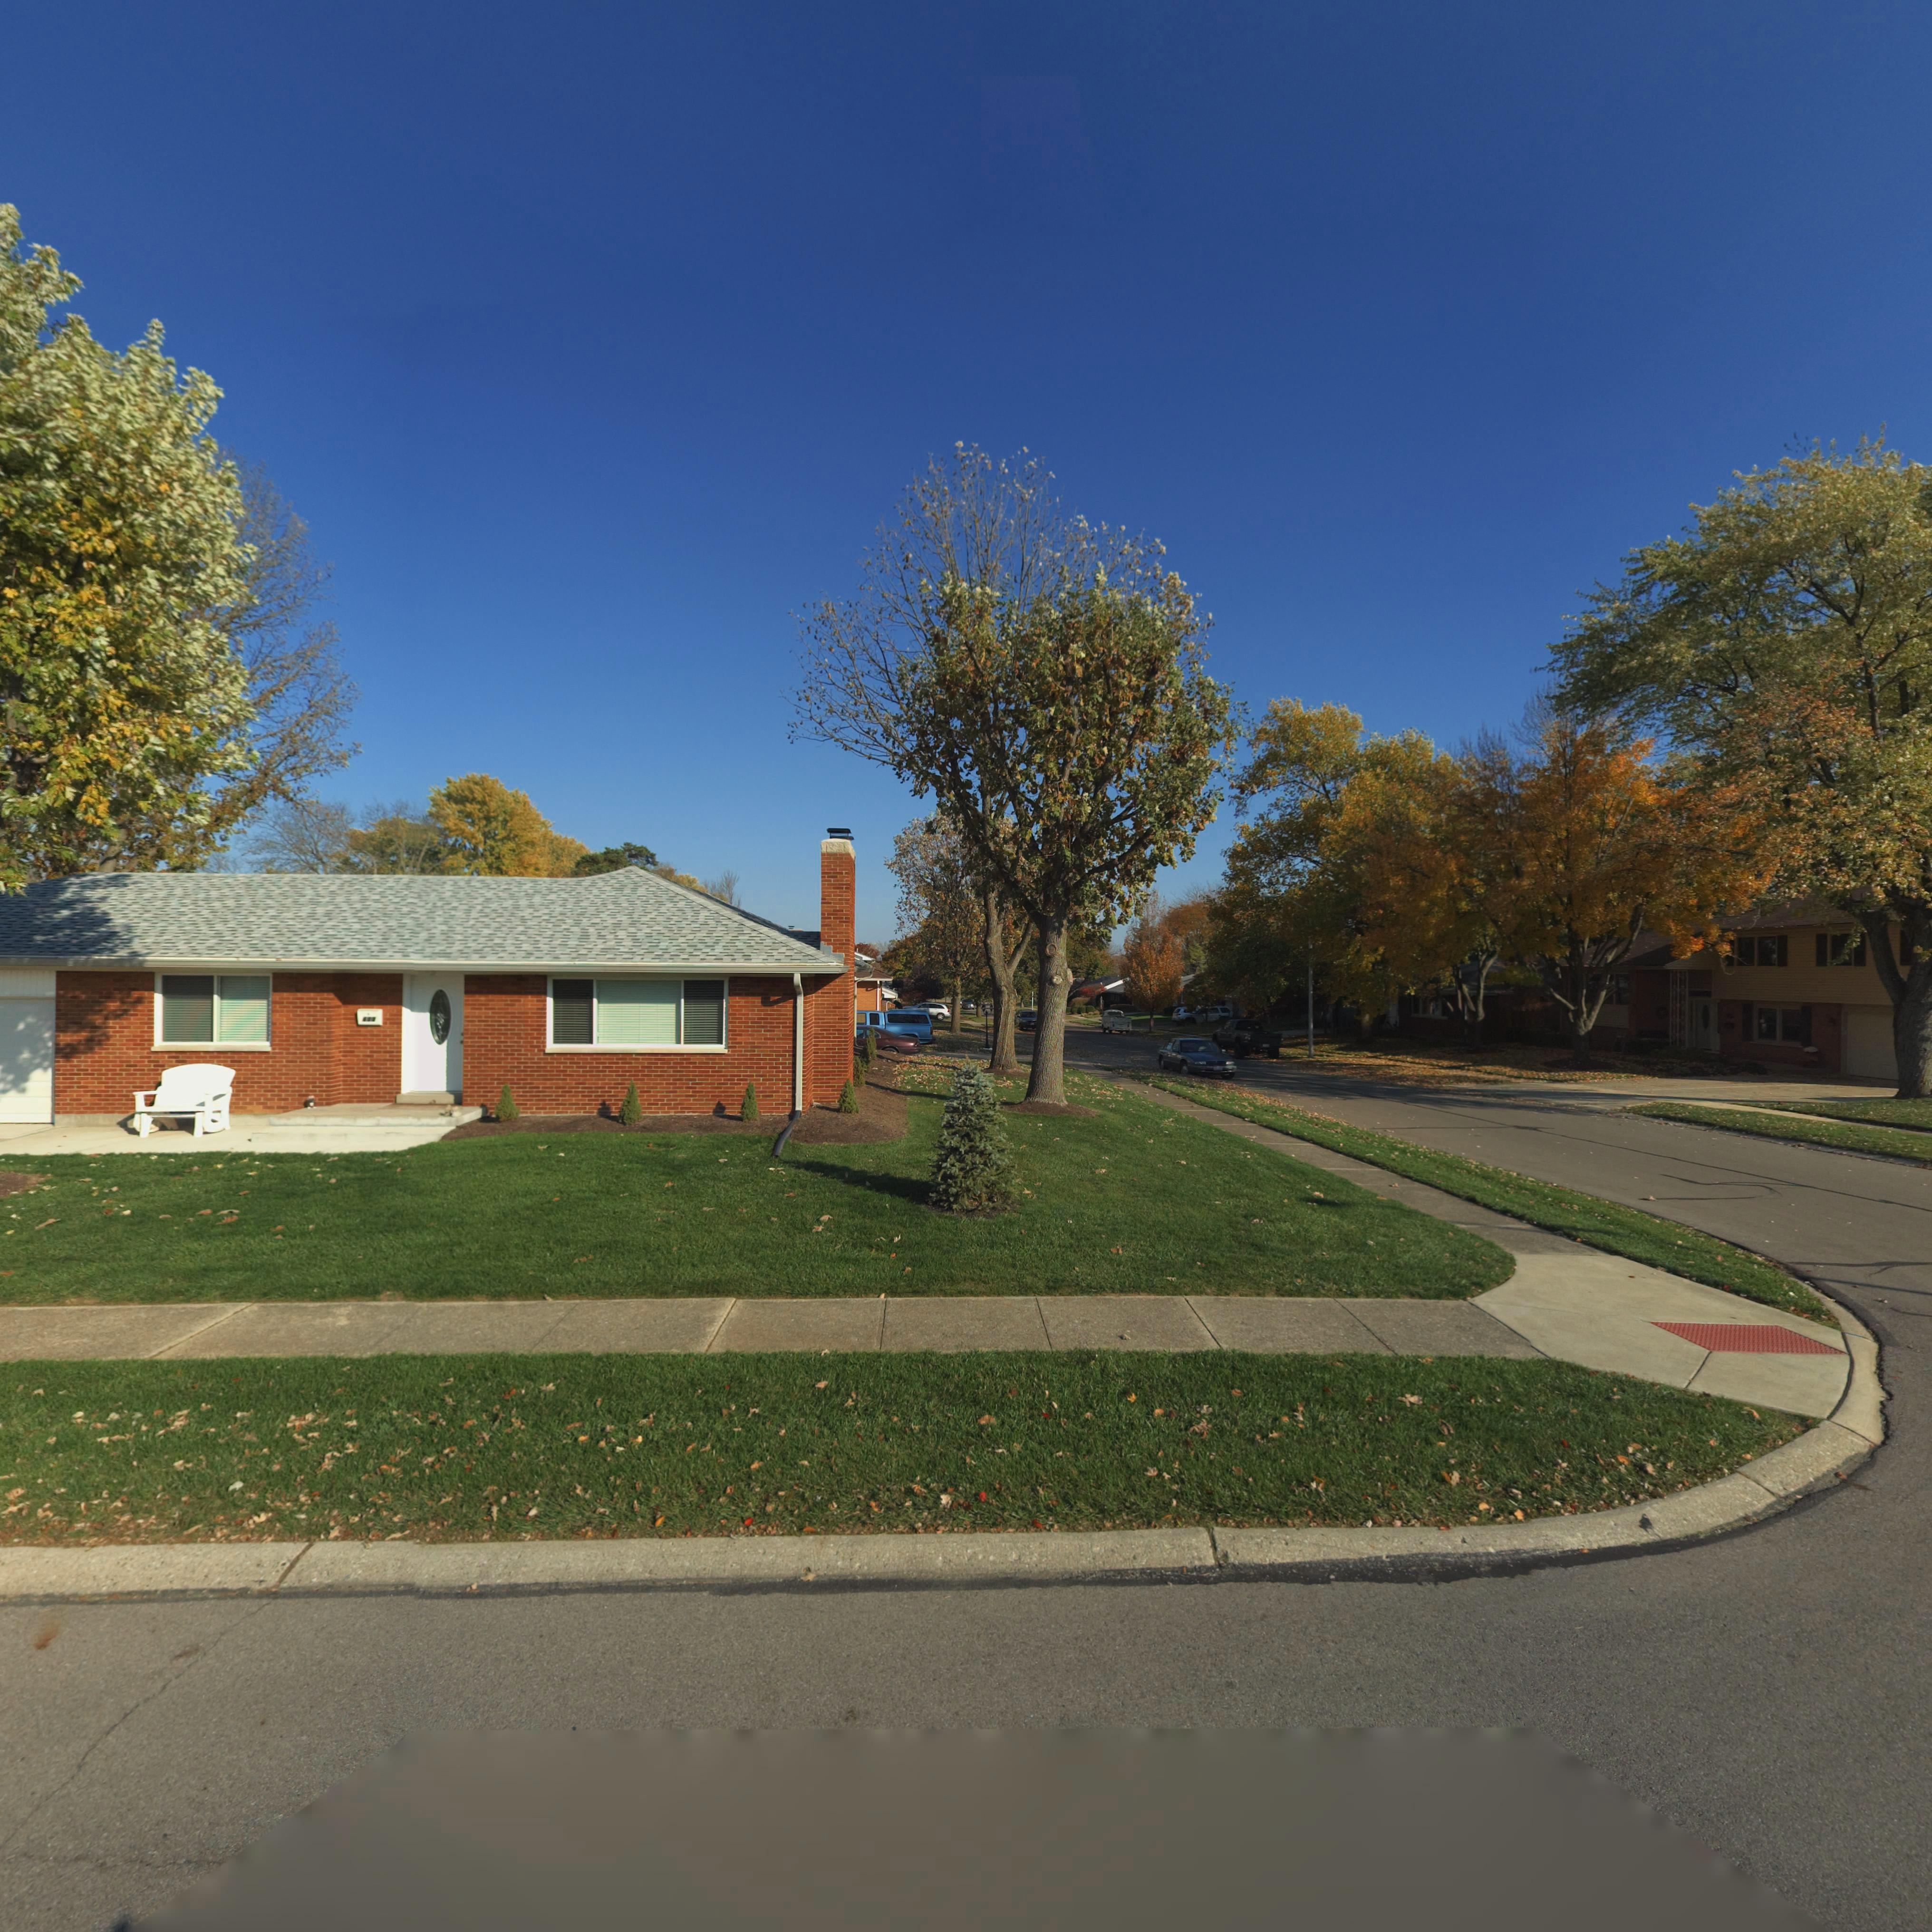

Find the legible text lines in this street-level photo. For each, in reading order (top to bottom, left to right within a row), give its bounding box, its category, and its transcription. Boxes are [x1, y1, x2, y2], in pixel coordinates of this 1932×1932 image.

[361, 1016, 376, 1022] StreetNumber: 600